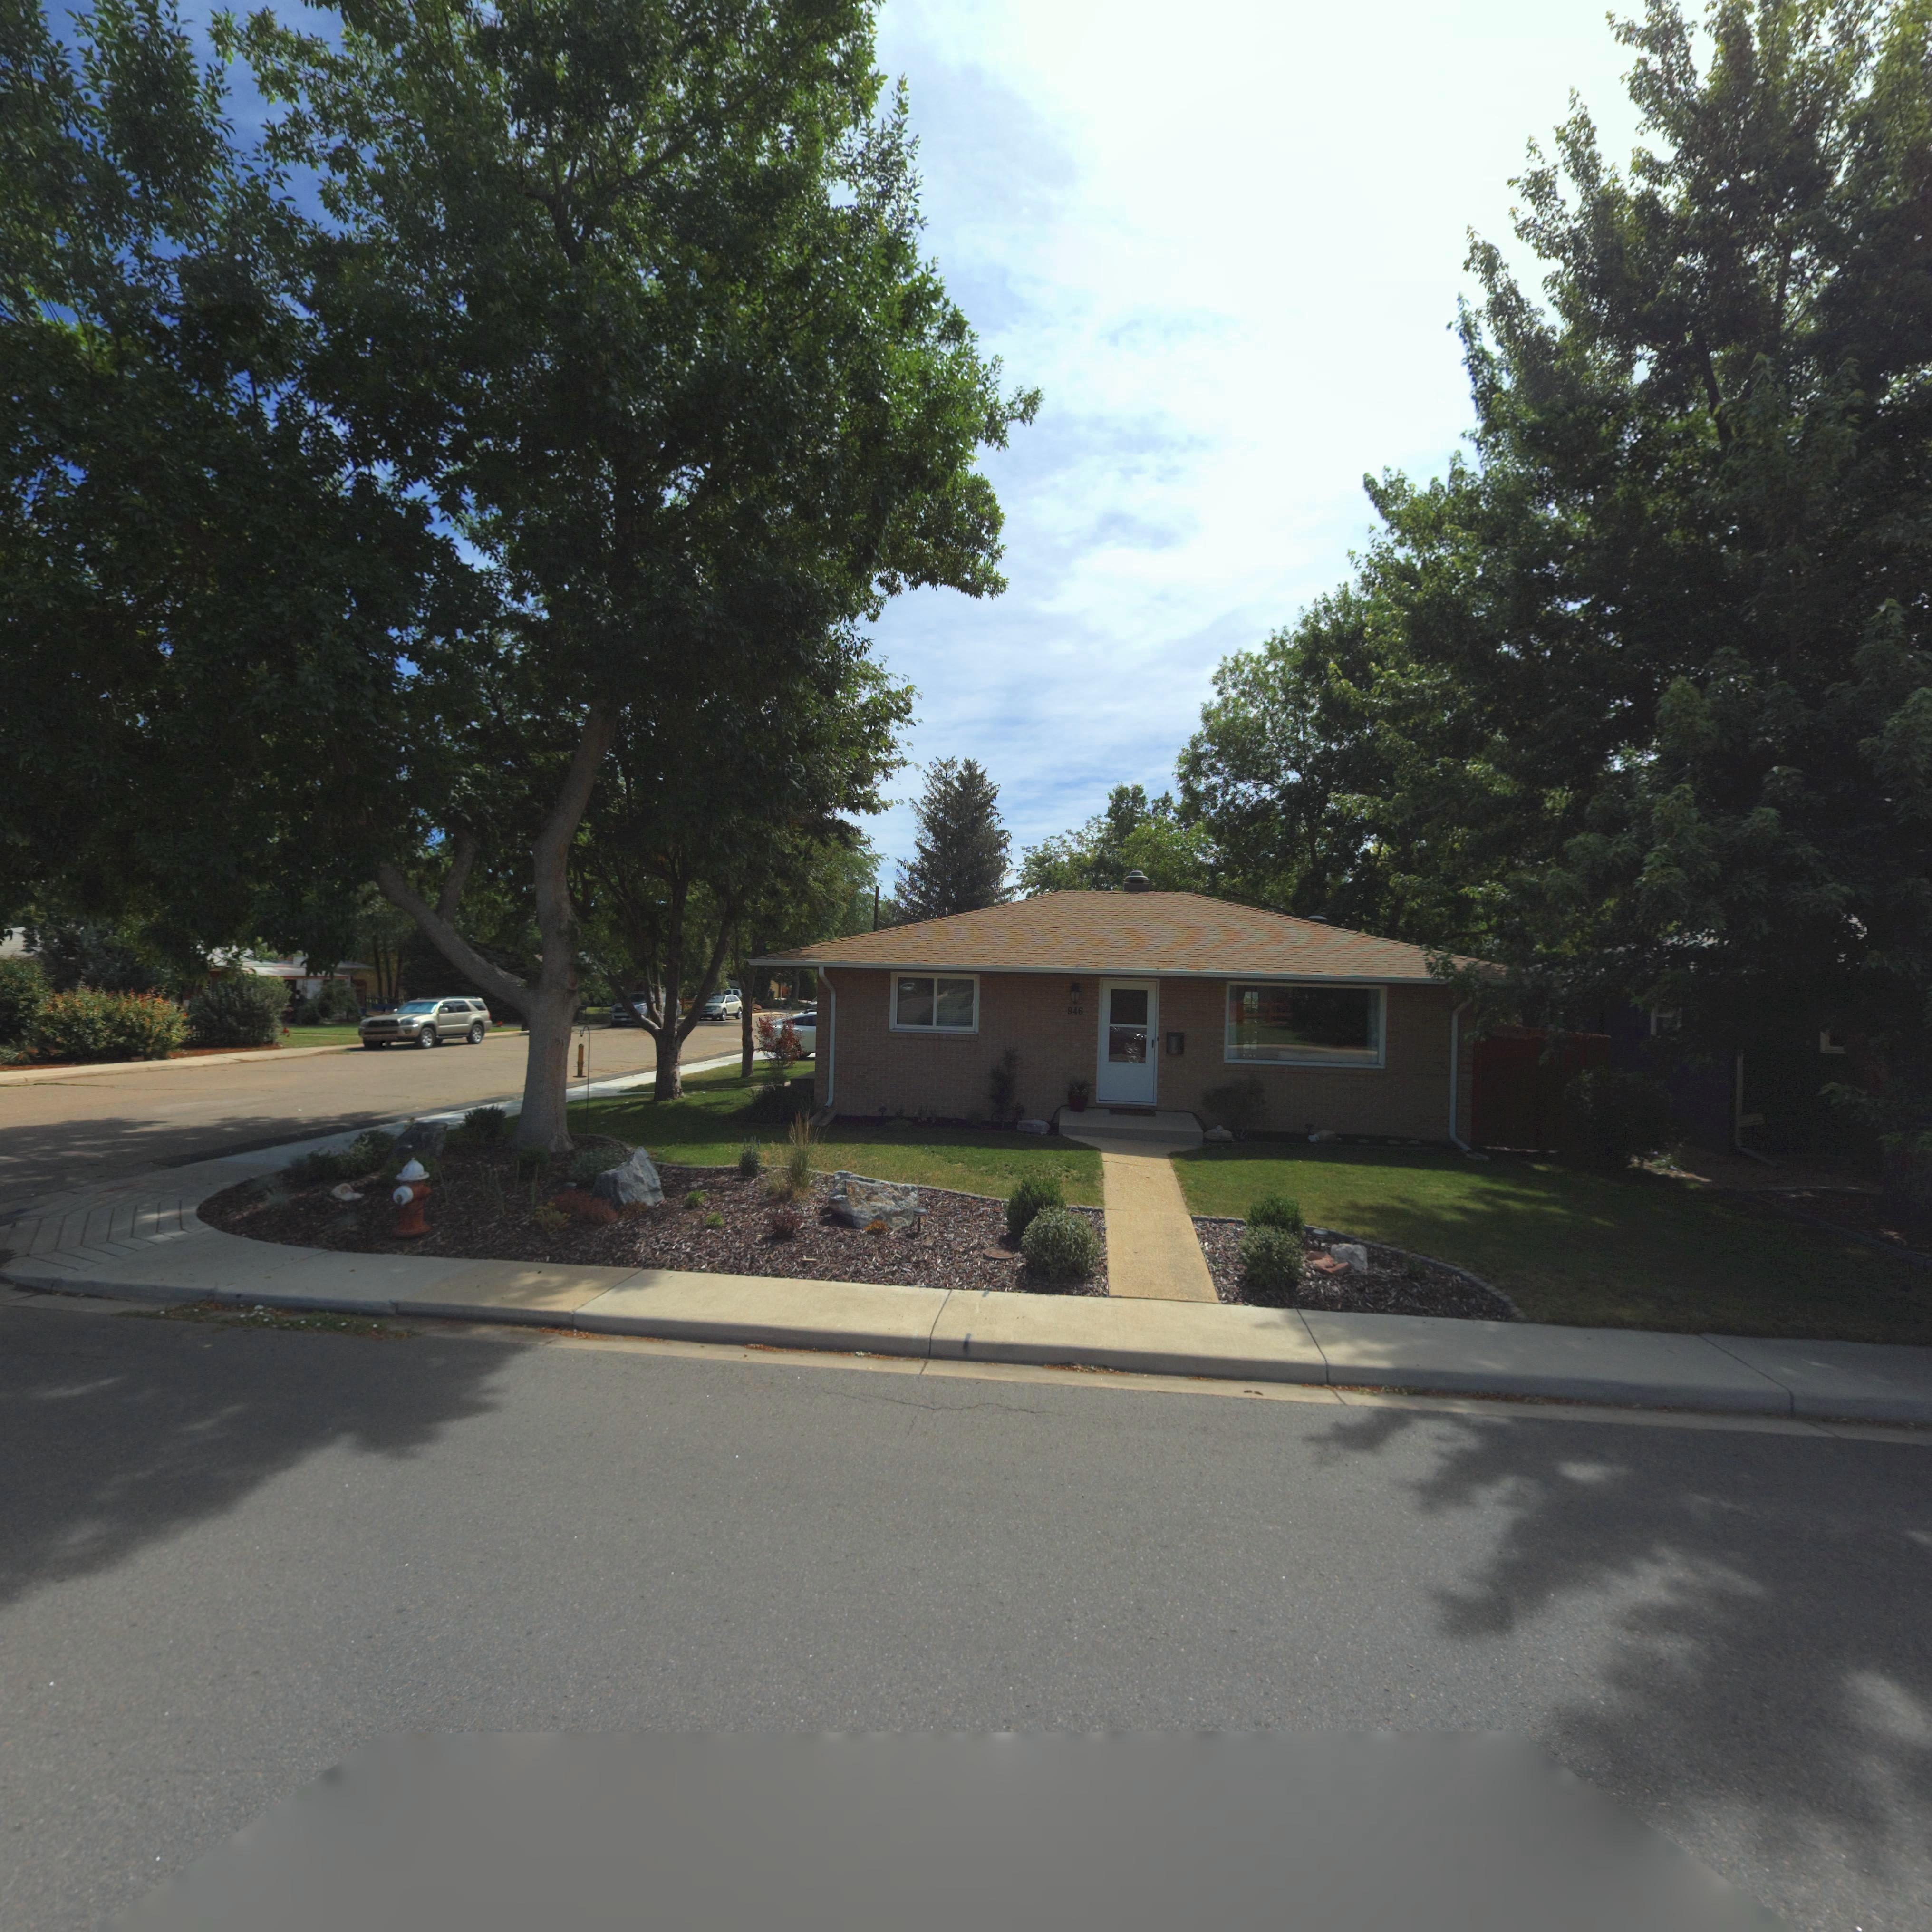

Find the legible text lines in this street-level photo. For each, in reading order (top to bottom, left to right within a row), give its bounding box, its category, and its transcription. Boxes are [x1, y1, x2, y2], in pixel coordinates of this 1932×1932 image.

[1067, 1006, 1083, 1014] StreetNumber: 946